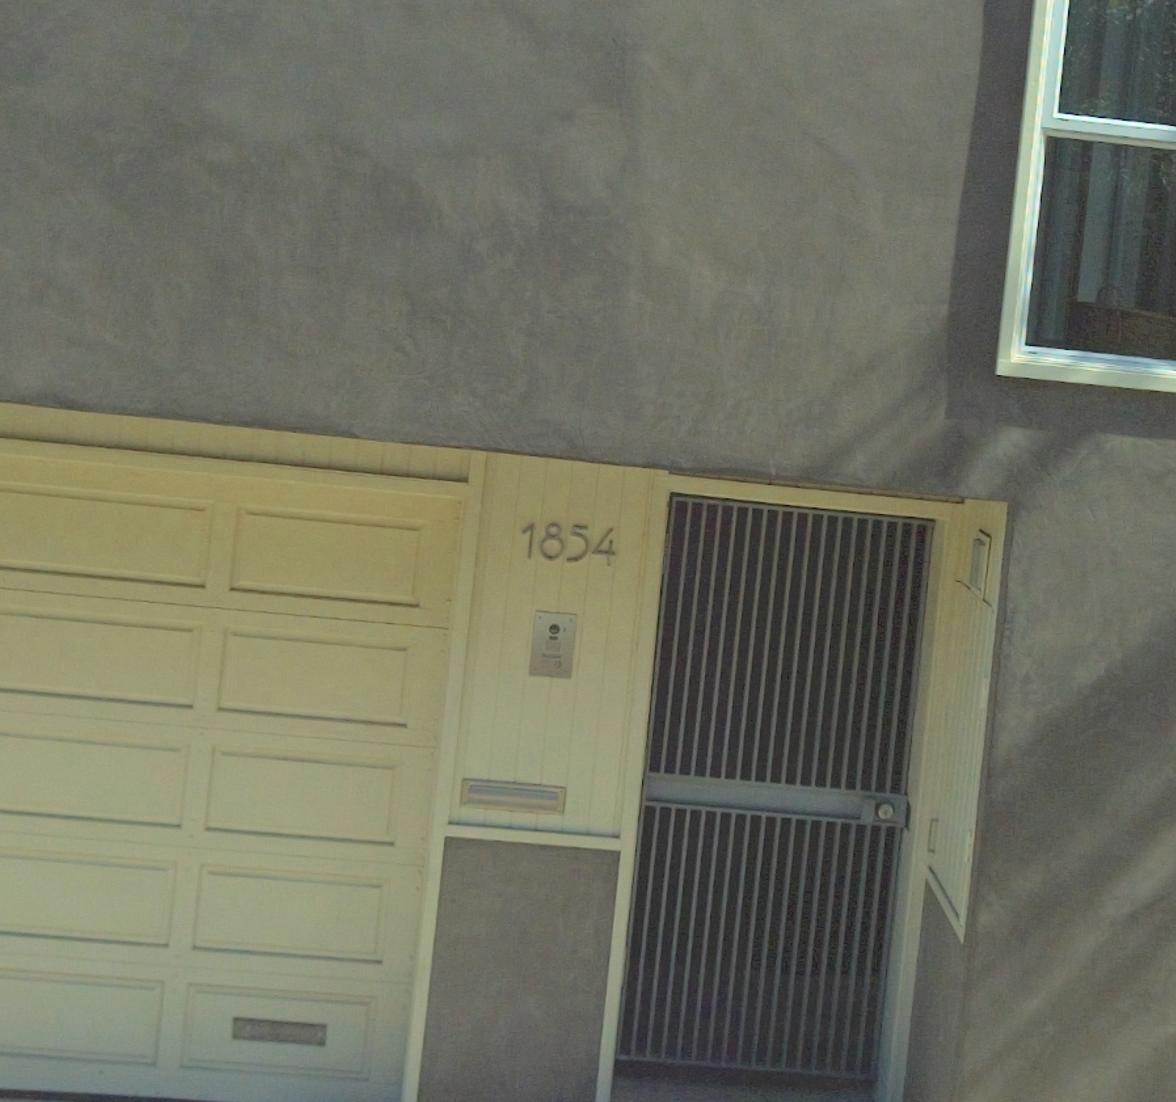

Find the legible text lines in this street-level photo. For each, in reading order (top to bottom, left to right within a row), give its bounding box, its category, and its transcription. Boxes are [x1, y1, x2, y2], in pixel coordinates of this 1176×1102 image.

[519, 518, 623, 570] StreetNumber: 1854